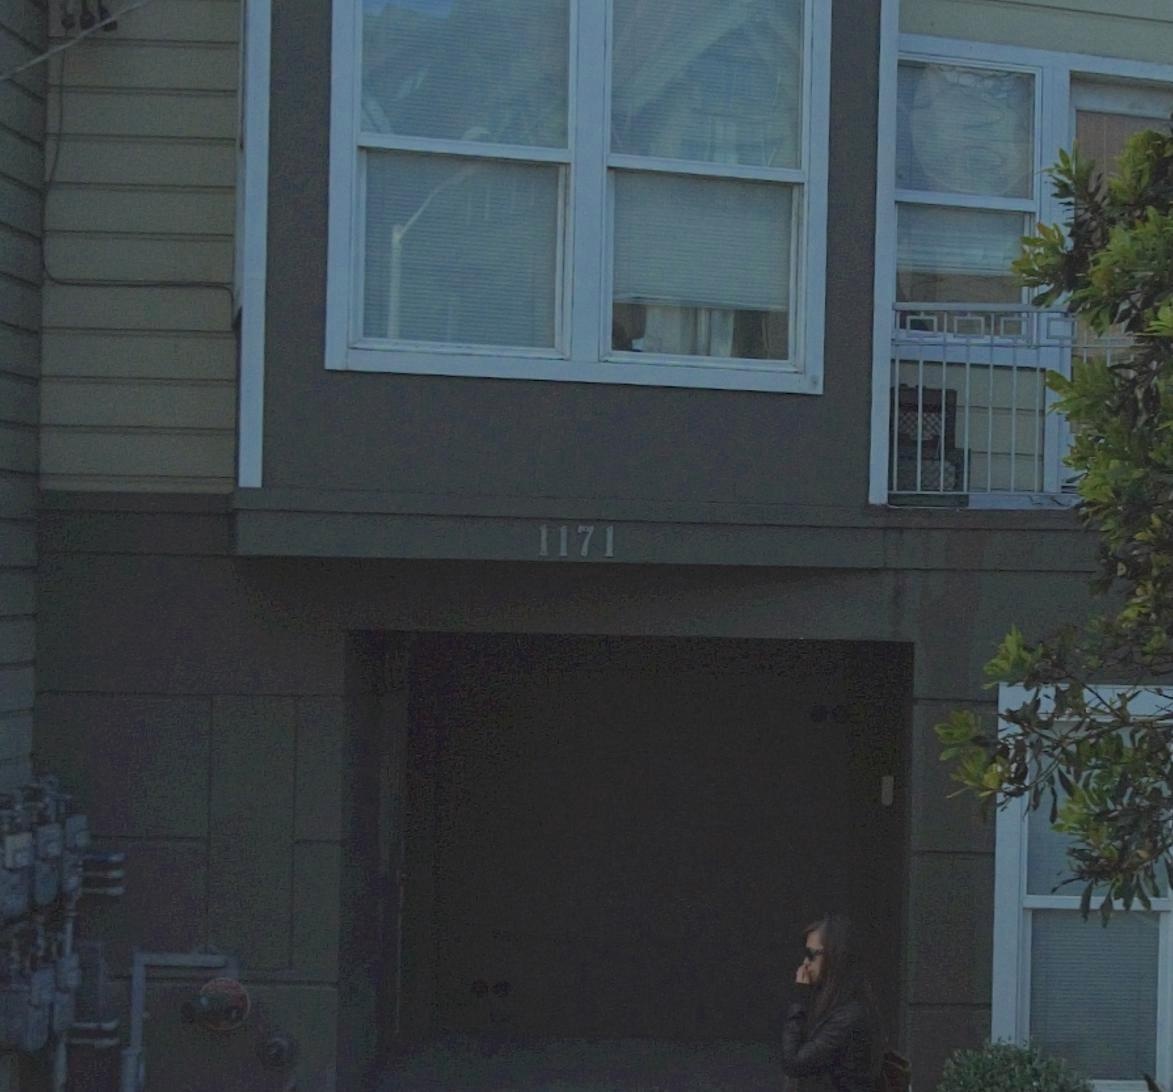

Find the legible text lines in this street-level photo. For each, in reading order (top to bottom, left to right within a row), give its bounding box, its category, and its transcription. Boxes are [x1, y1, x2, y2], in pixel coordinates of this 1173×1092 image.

[536, 523, 616, 560] StreetNumber: 1171